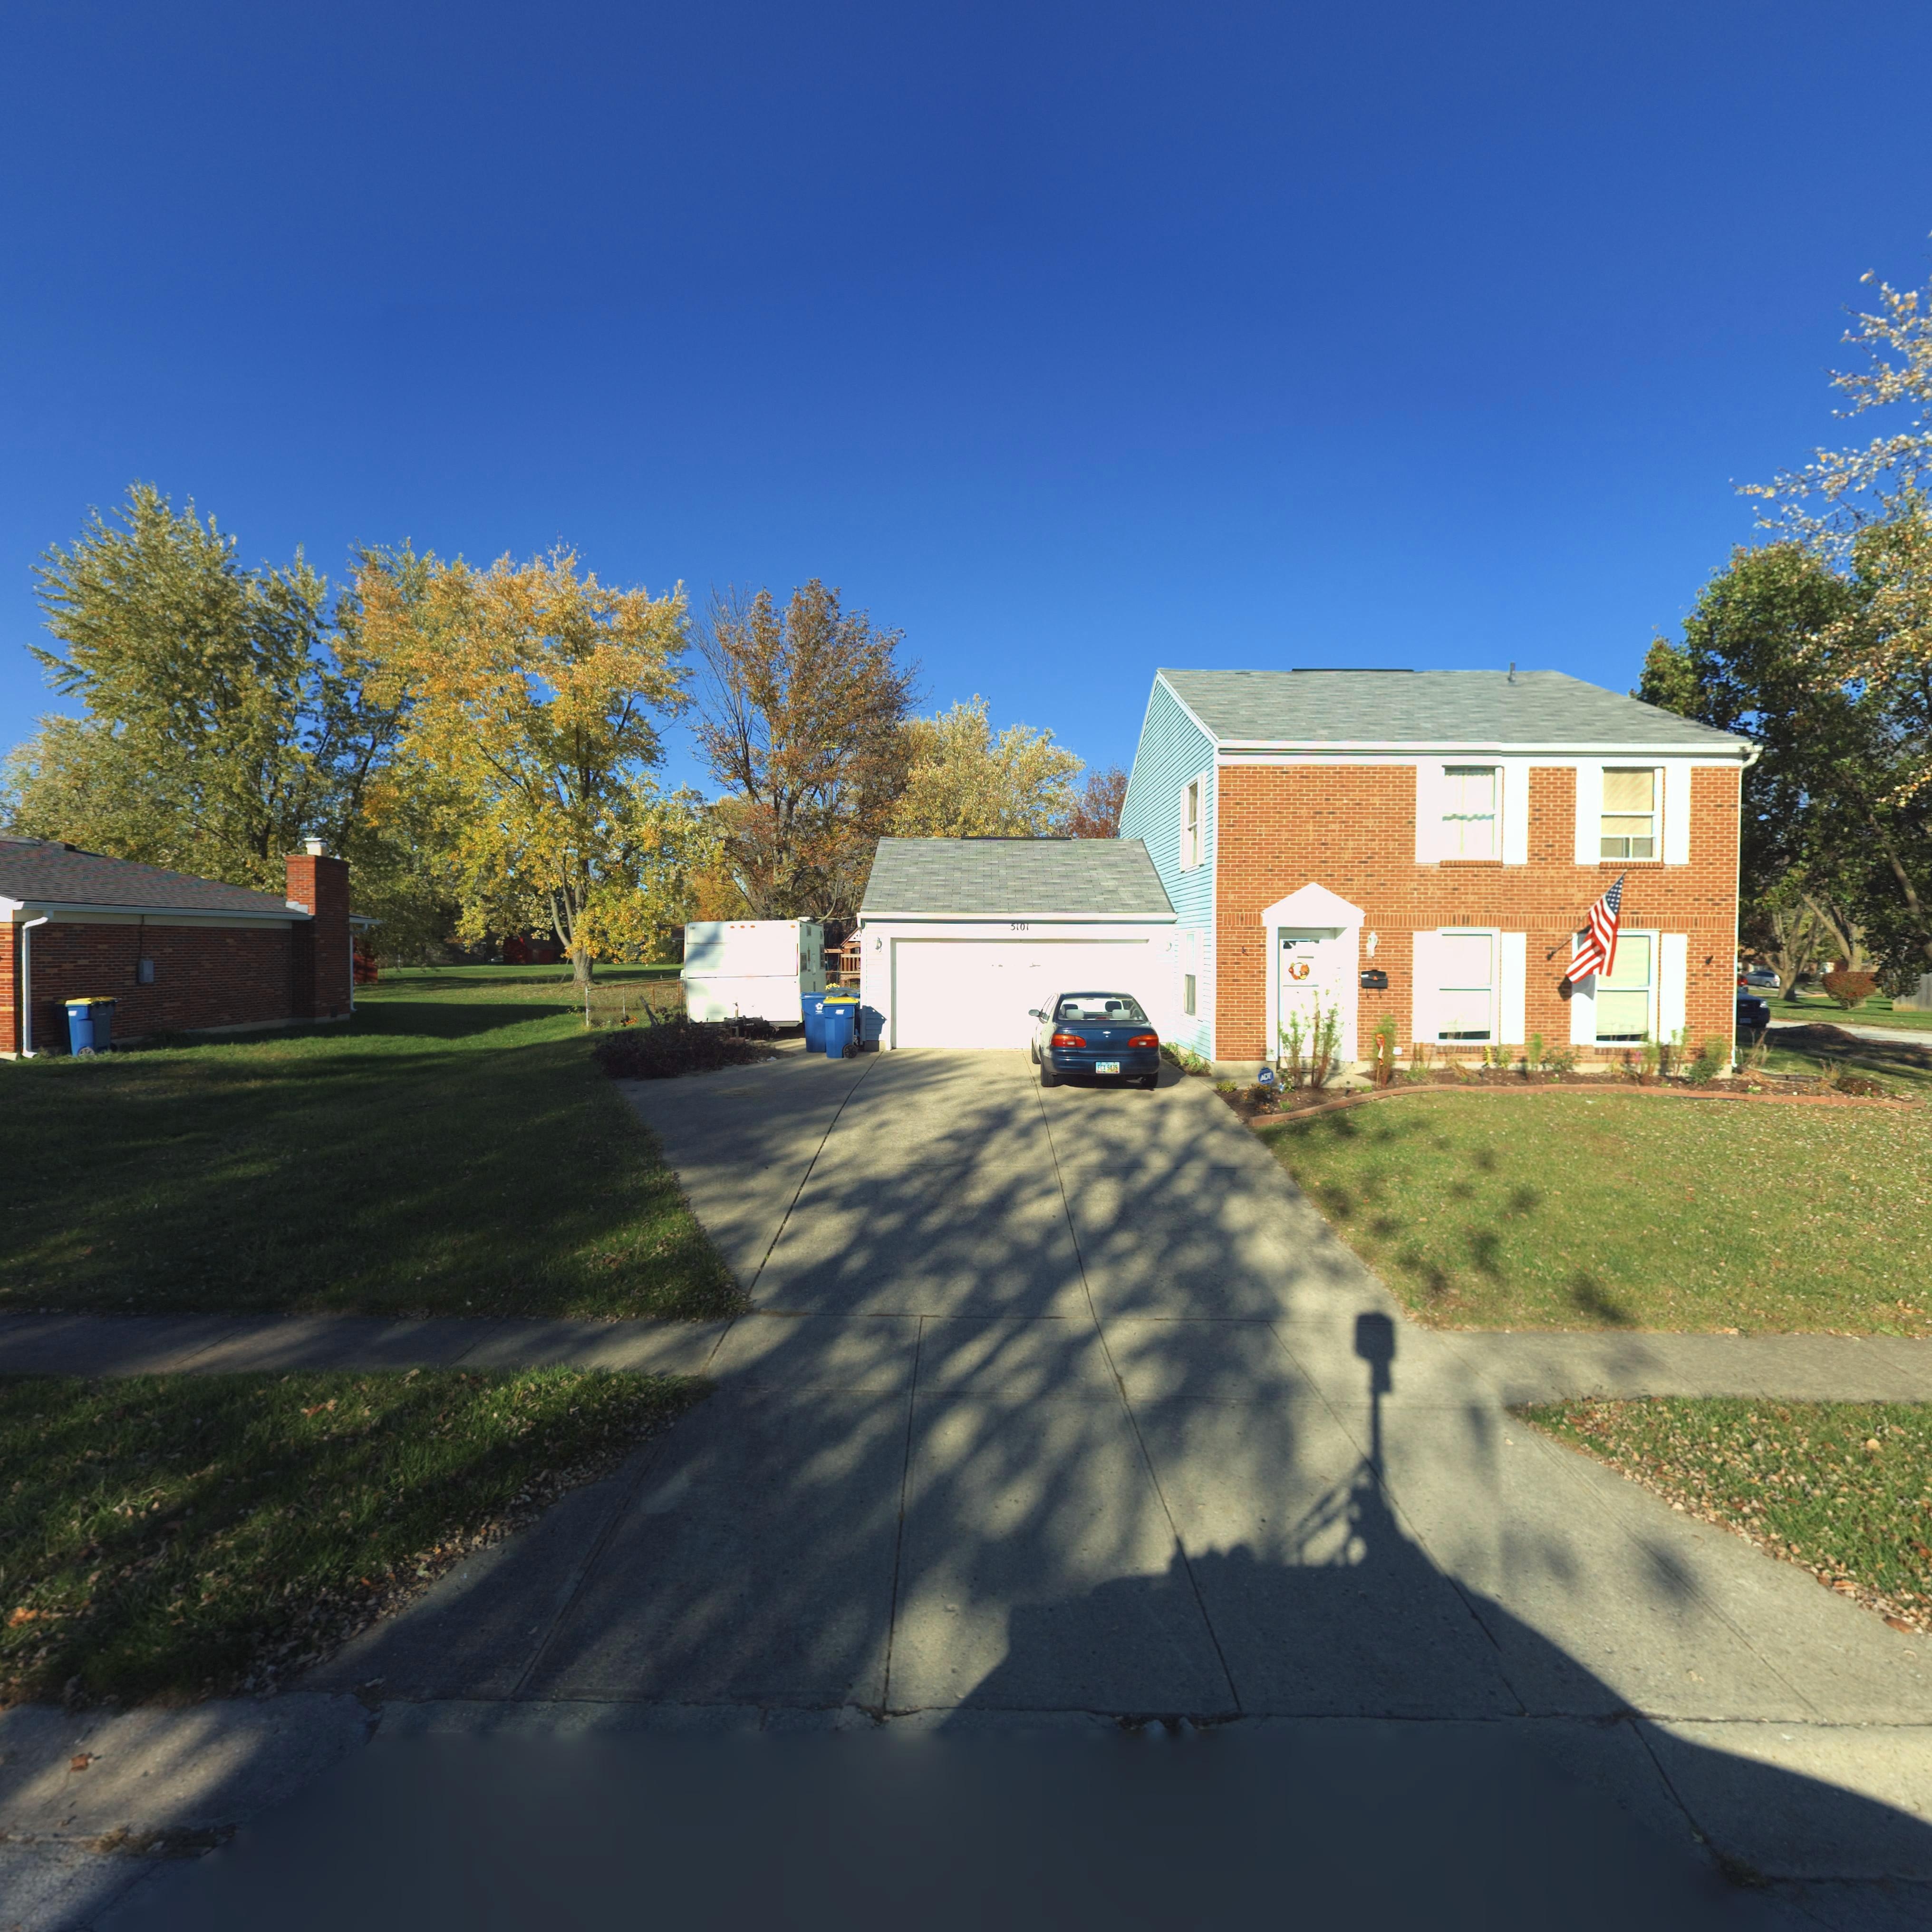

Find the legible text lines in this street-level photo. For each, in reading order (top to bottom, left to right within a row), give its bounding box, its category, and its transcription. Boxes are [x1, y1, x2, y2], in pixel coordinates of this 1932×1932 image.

[1010, 923, 1029, 931] StreetNumber: 5101